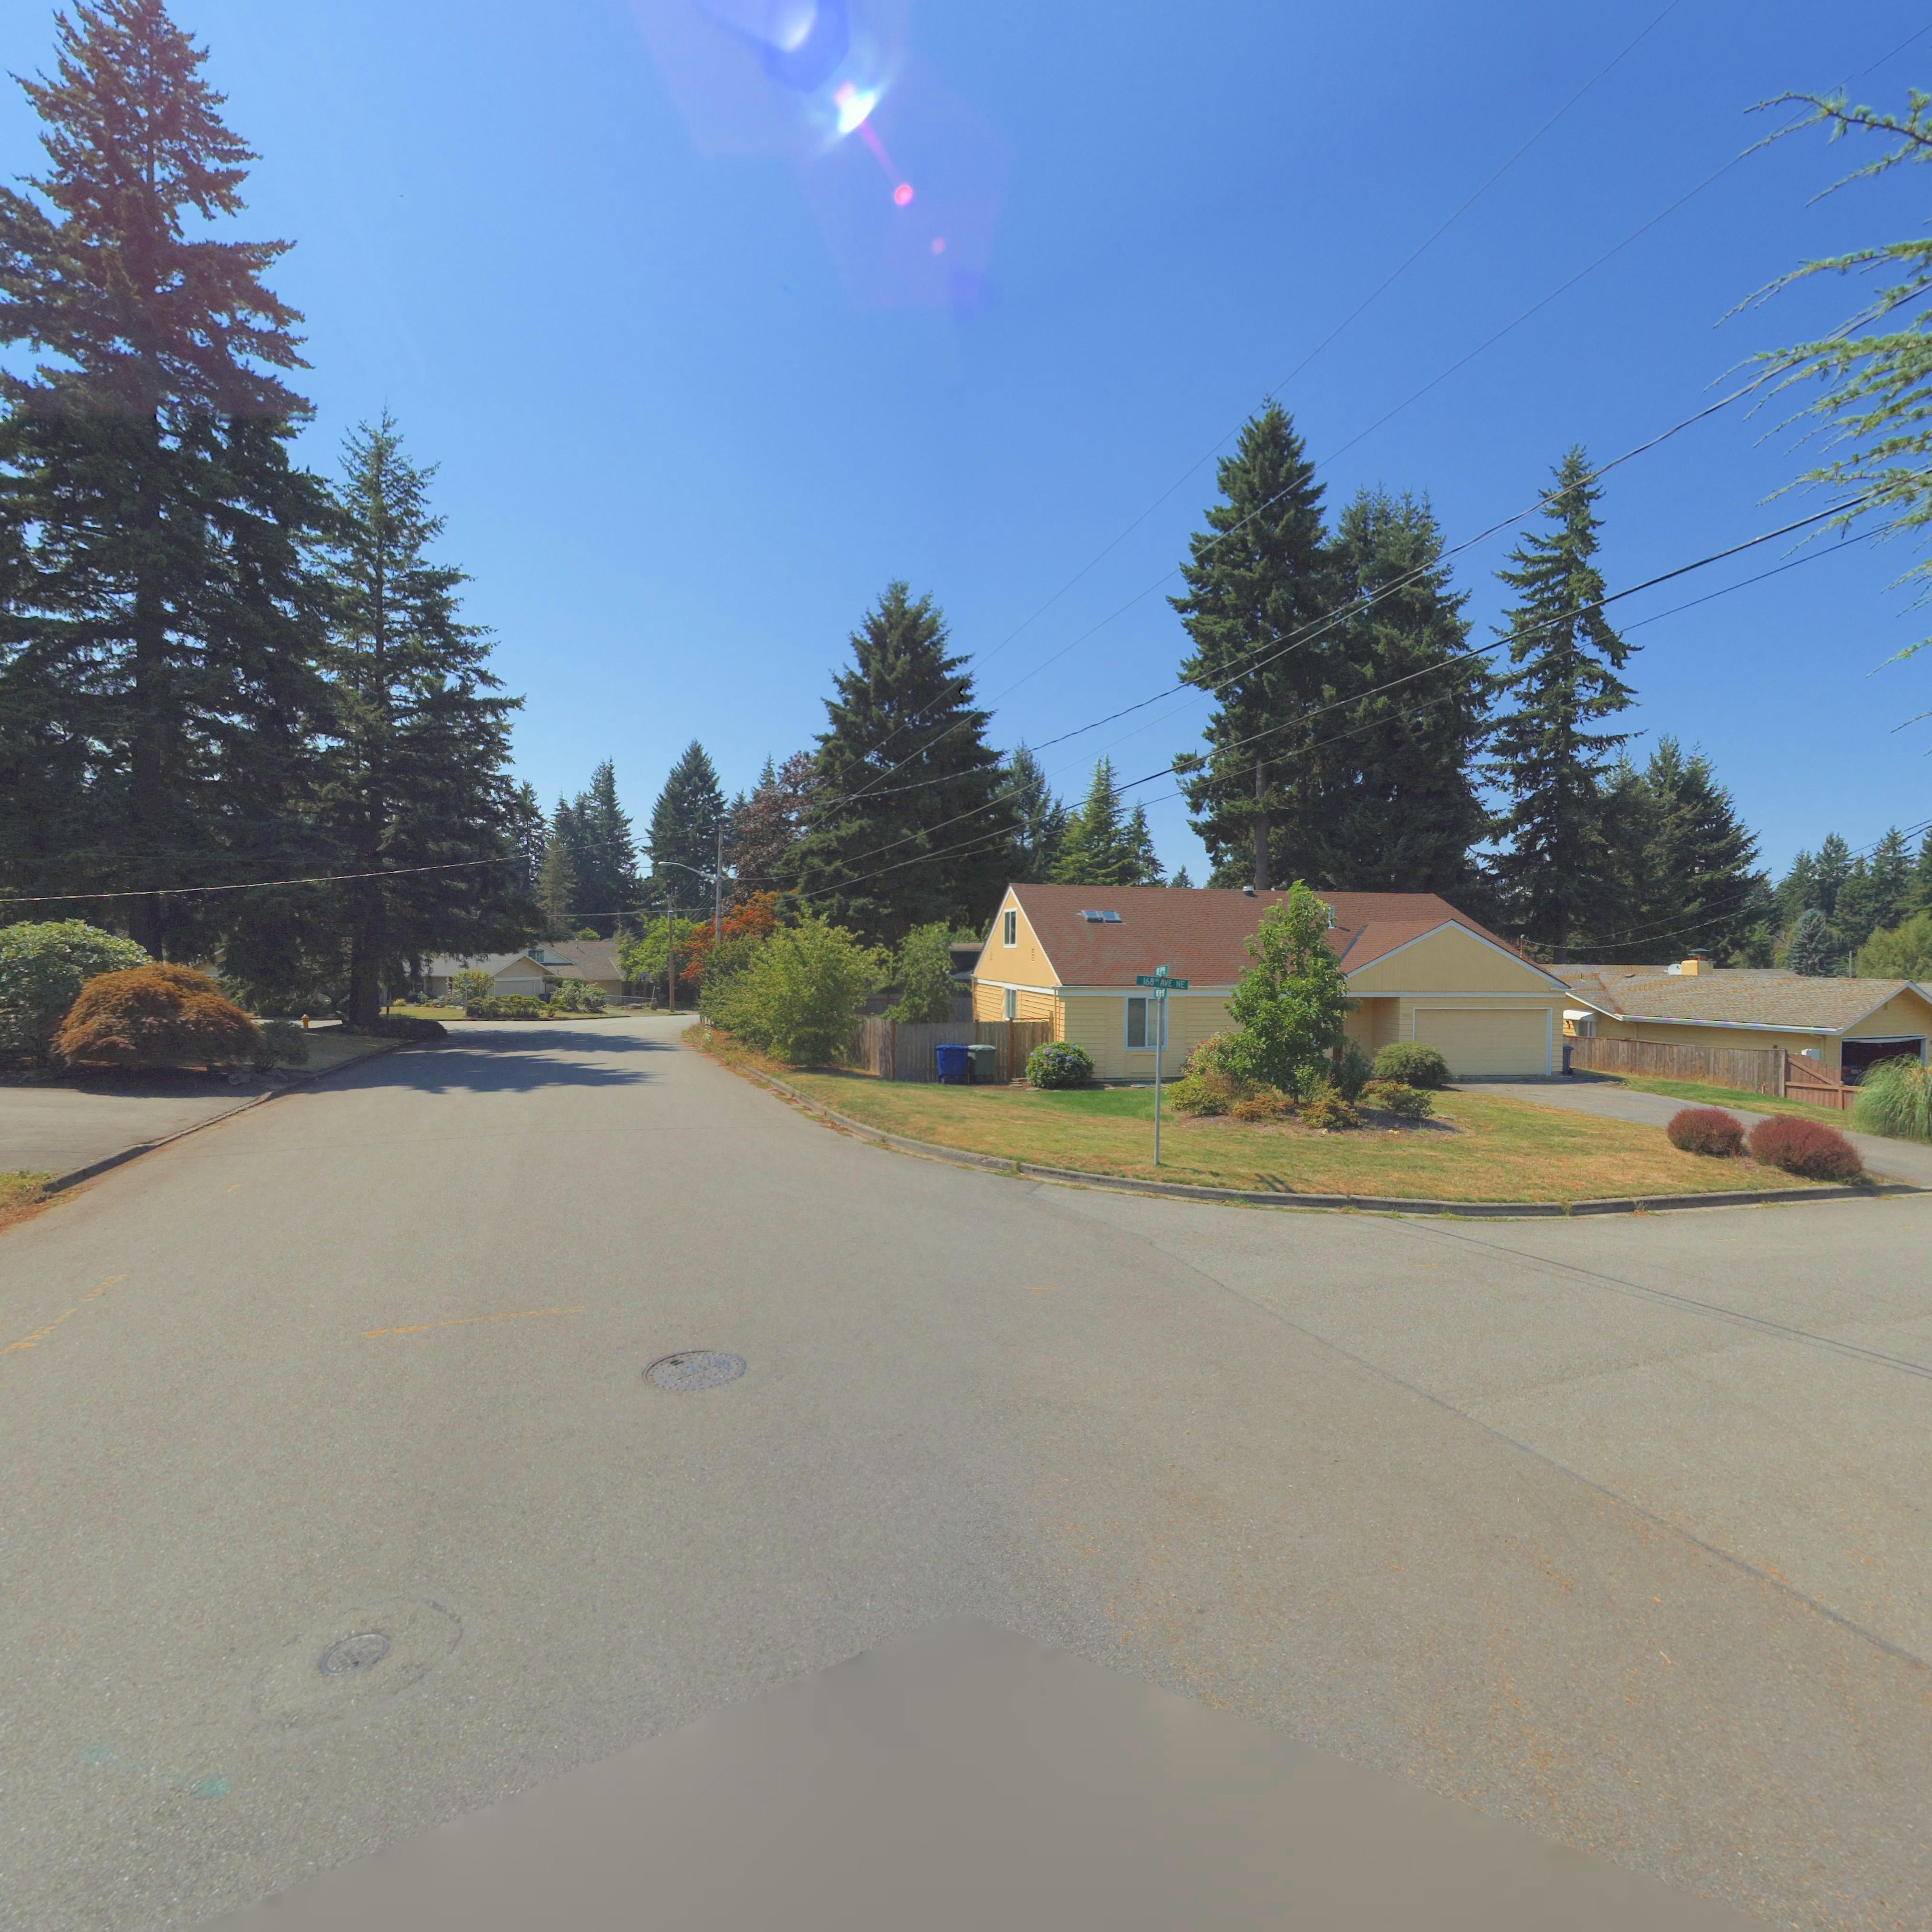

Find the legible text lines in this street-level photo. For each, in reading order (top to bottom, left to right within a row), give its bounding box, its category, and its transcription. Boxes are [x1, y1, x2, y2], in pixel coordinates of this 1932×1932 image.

[1142, 976, 1185, 988] StreetName: 168 AVE NE